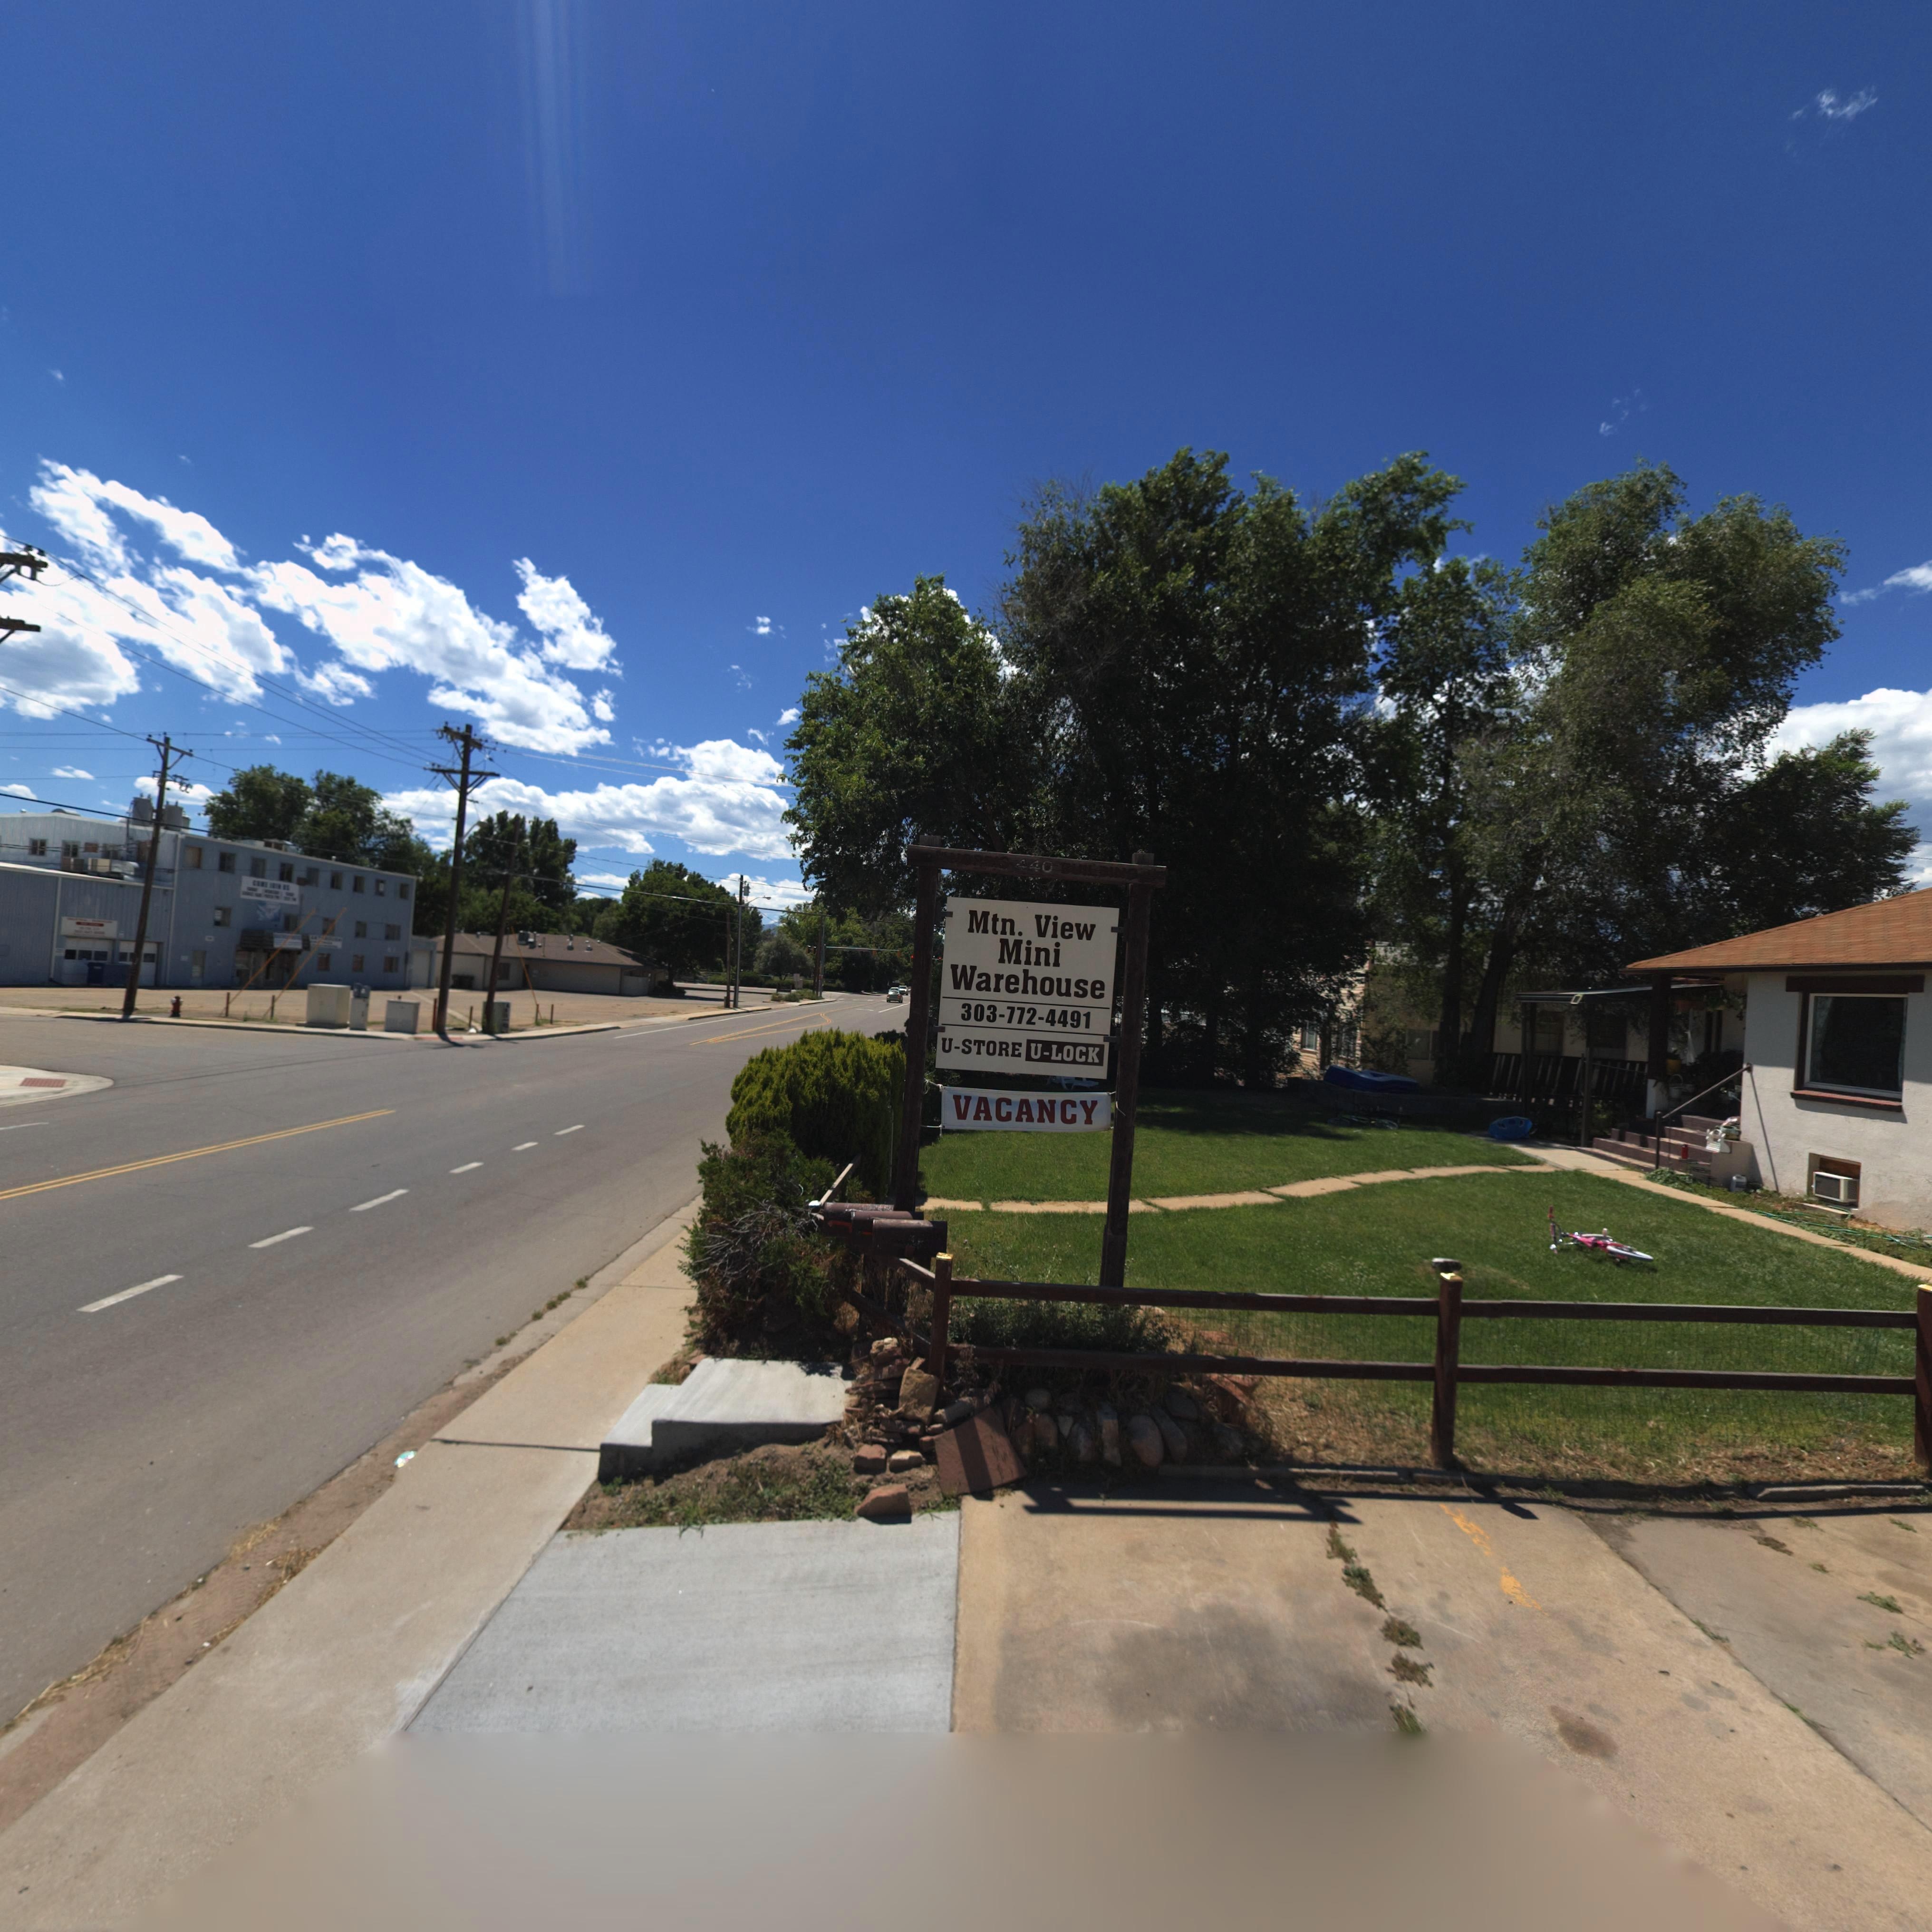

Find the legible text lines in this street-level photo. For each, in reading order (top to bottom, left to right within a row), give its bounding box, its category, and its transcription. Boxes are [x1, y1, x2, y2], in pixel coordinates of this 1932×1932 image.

[1014, 858, 1053, 873] StreetNumber: 440
[966, 909, 1096, 941] BusinessName: Mtn. View
[997, 937, 1061, 968] BusinessName: Mini
[950, 963, 1105, 999] BusinessName: Warehouse